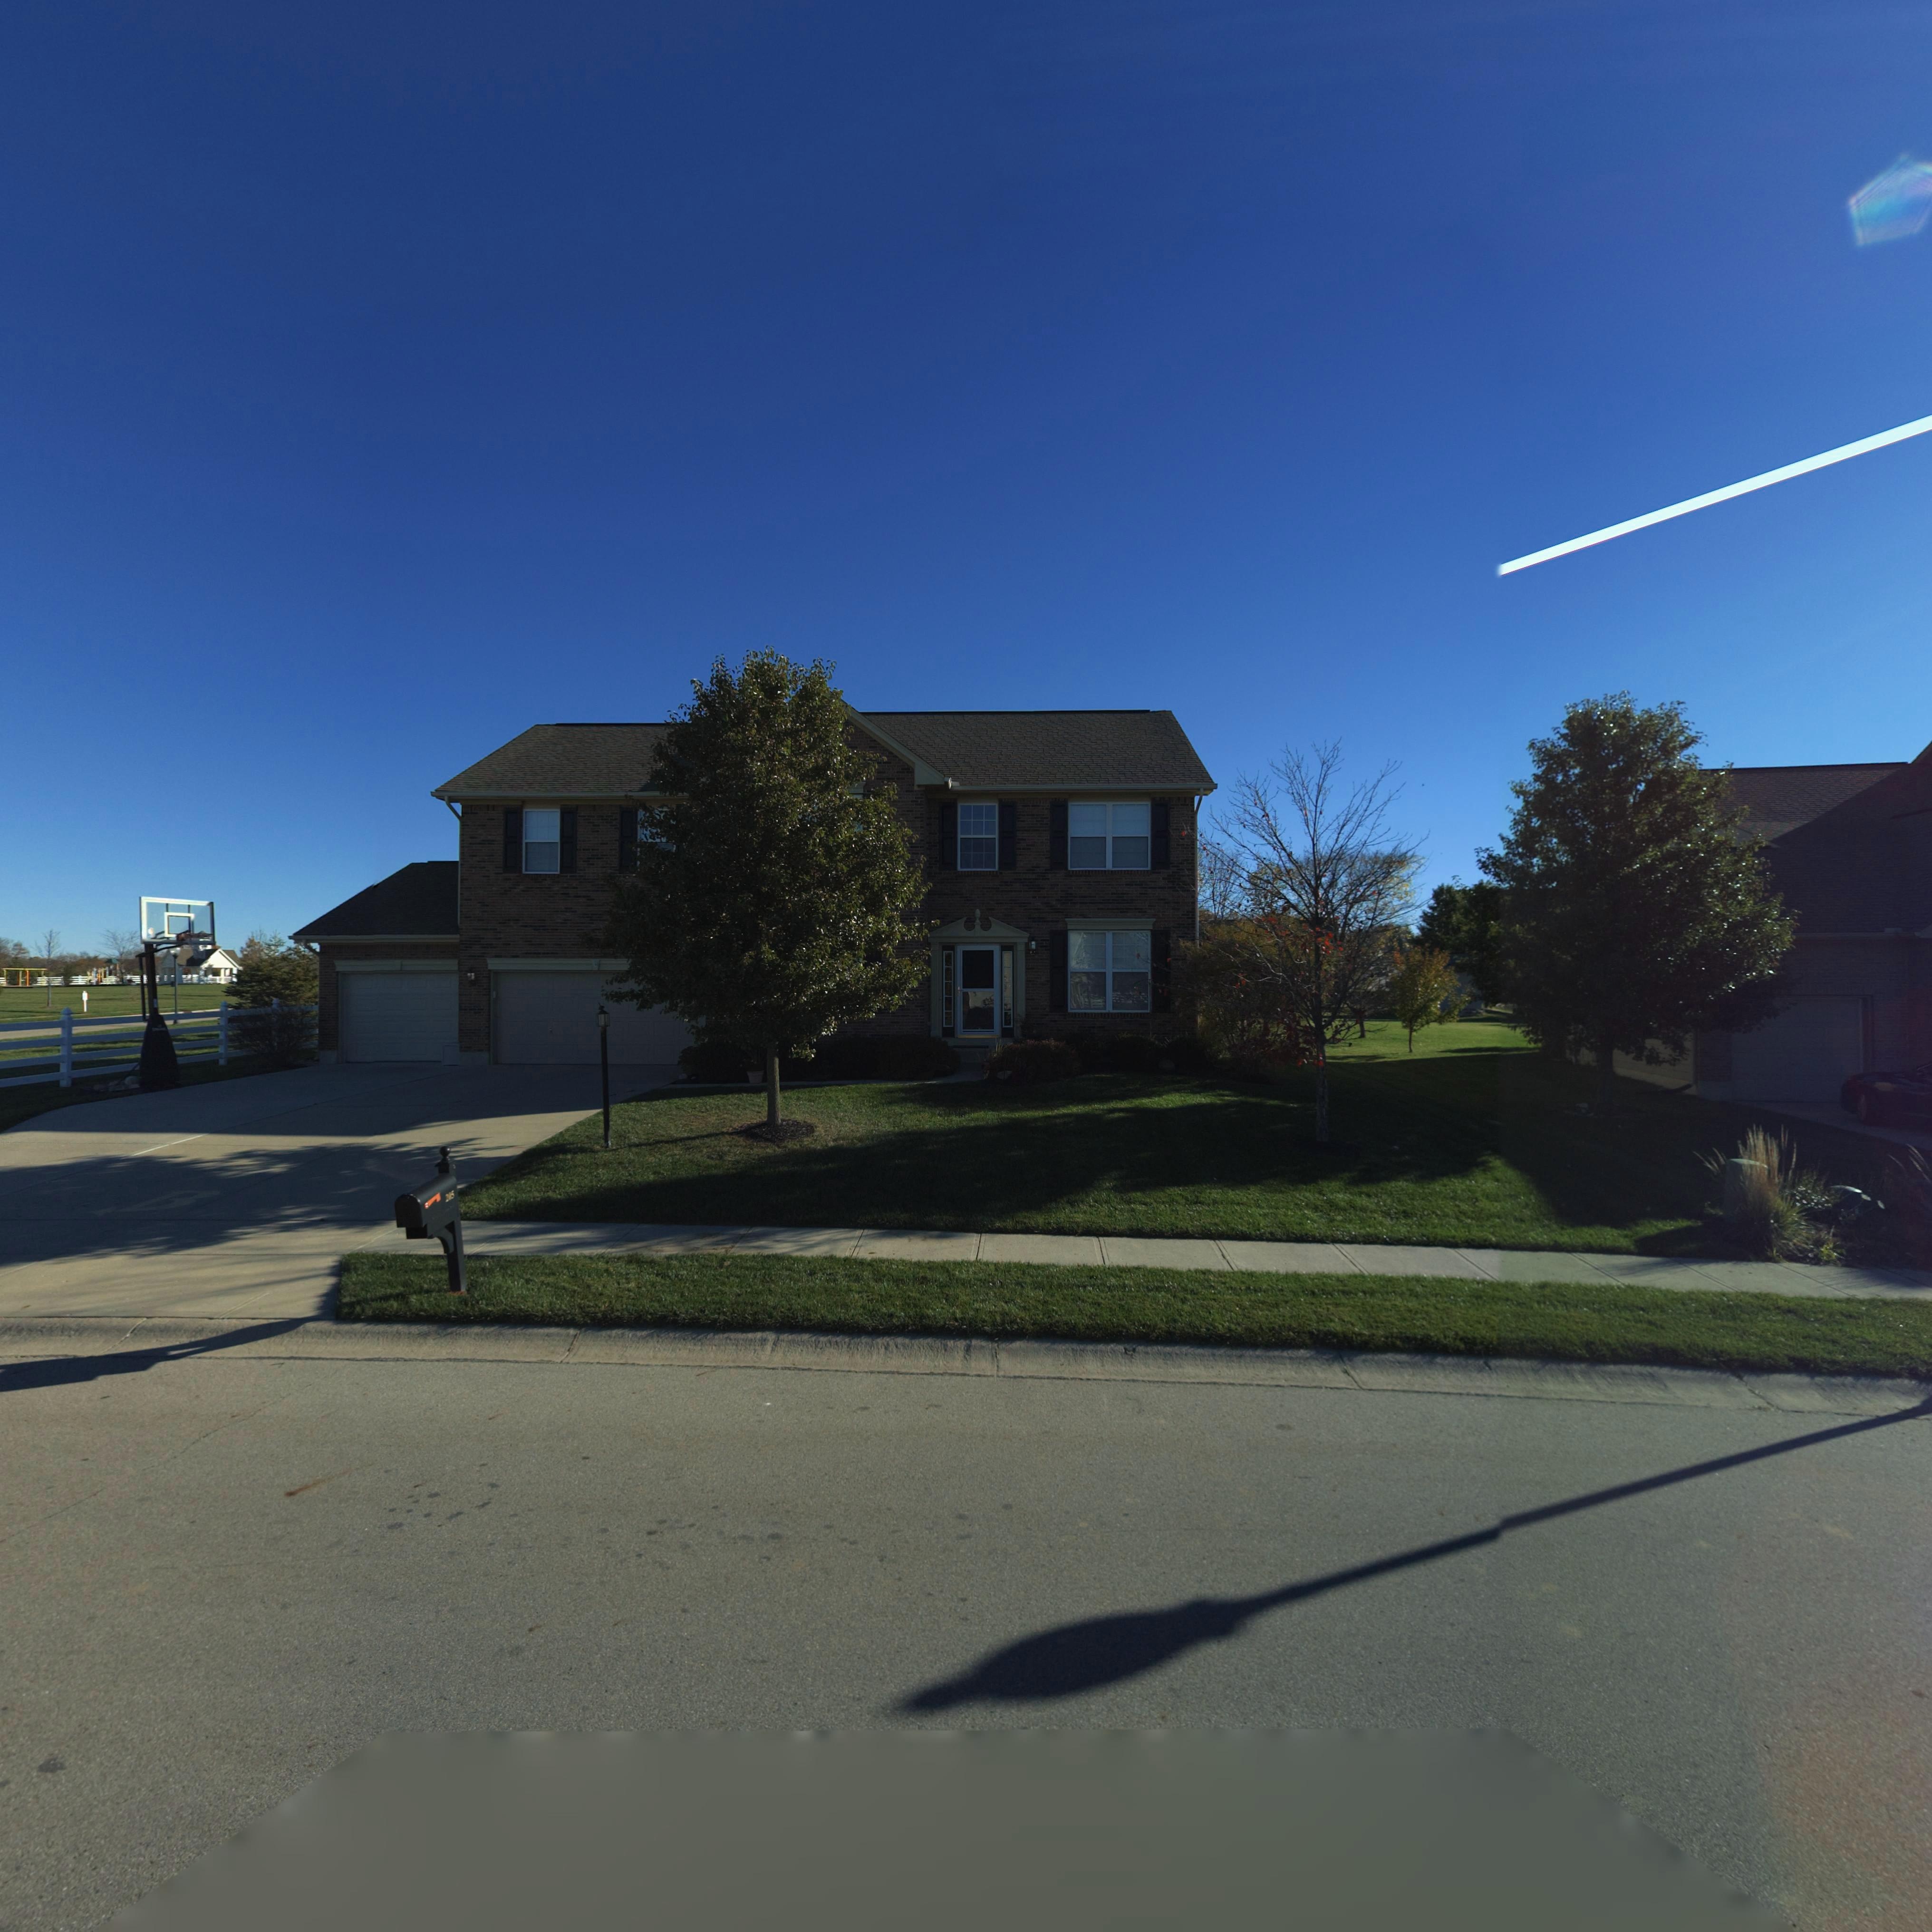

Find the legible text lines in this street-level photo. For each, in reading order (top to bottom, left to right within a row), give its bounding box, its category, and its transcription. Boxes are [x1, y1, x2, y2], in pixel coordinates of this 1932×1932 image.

[444, 1188, 456, 1203] StreetNumber: 205